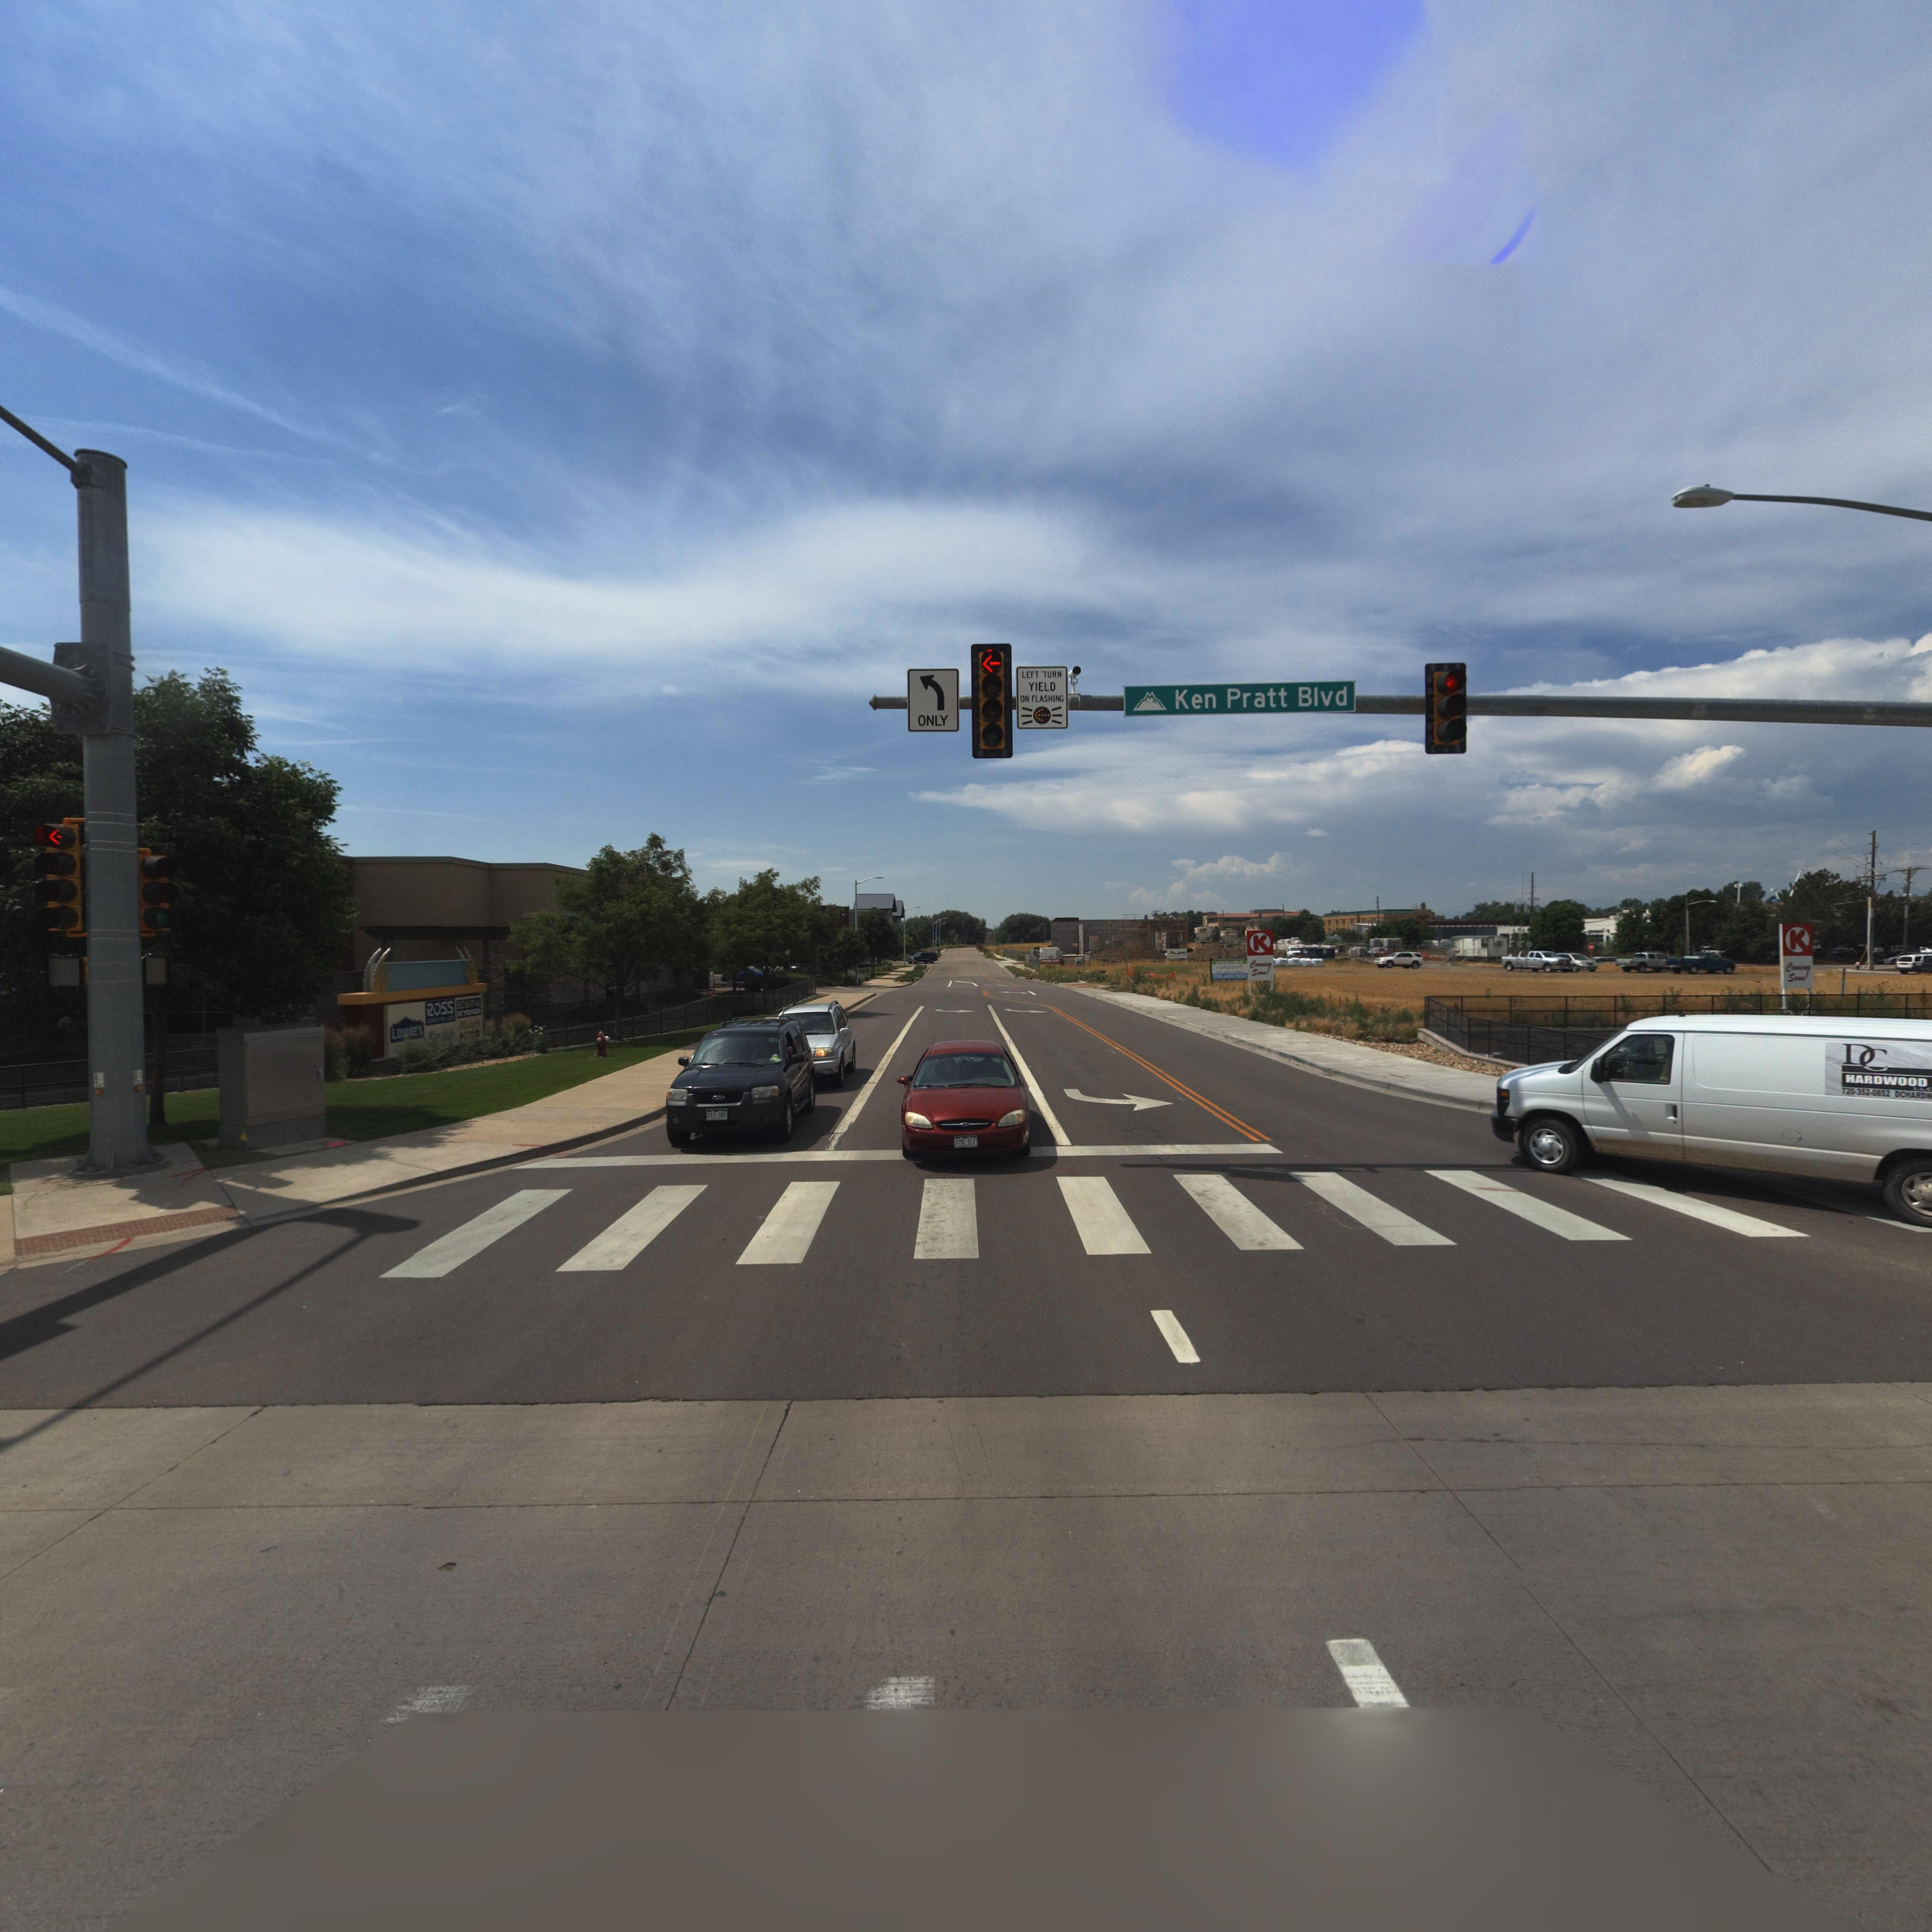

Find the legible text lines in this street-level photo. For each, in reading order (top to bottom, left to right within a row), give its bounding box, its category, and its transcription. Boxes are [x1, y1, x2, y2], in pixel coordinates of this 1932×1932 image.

[1174, 685, 1348, 710] StreetName: Ken Pratt Blvd
[426, 1000, 454, 1017] BusinessName: ROSS
[456, 1007, 481, 1017] BusinessName: BEYOND
[456, 998, 481, 1009] BusinessName: BED BATH &
[391, 1024, 423, 1040] BusinessName: LOwEE'S
[425, 1027, 455, 1043] BusinessName: Ma*sh*lls
[457, 1018, 481, 1031] BusinessName: M*ch*els
[459, 1029, 480, 1041] BusinessName: PETCO